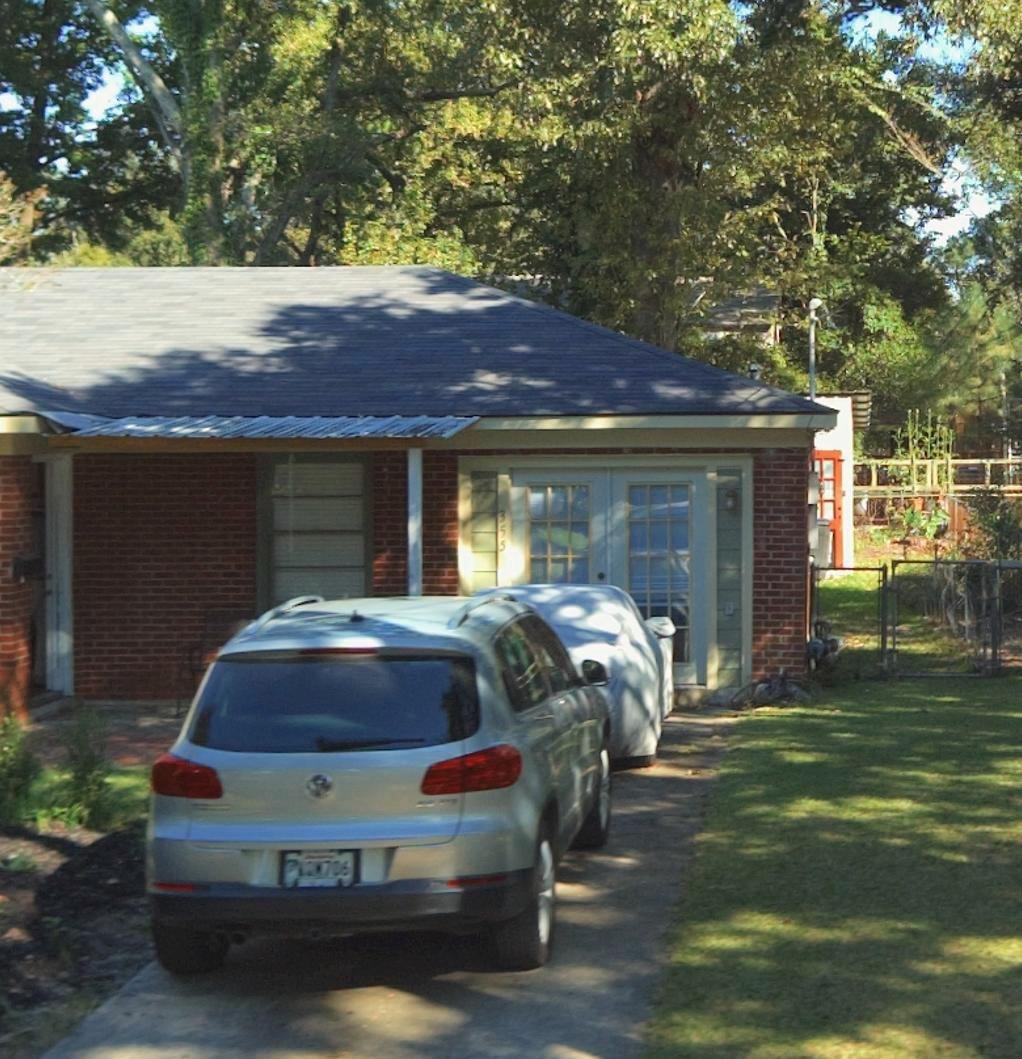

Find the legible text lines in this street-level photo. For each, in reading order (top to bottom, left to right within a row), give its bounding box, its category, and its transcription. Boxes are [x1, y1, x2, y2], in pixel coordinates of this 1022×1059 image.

[497, 508, 507, 554] StreetNumber: 355
[322, 859, 352, 878] None: 706